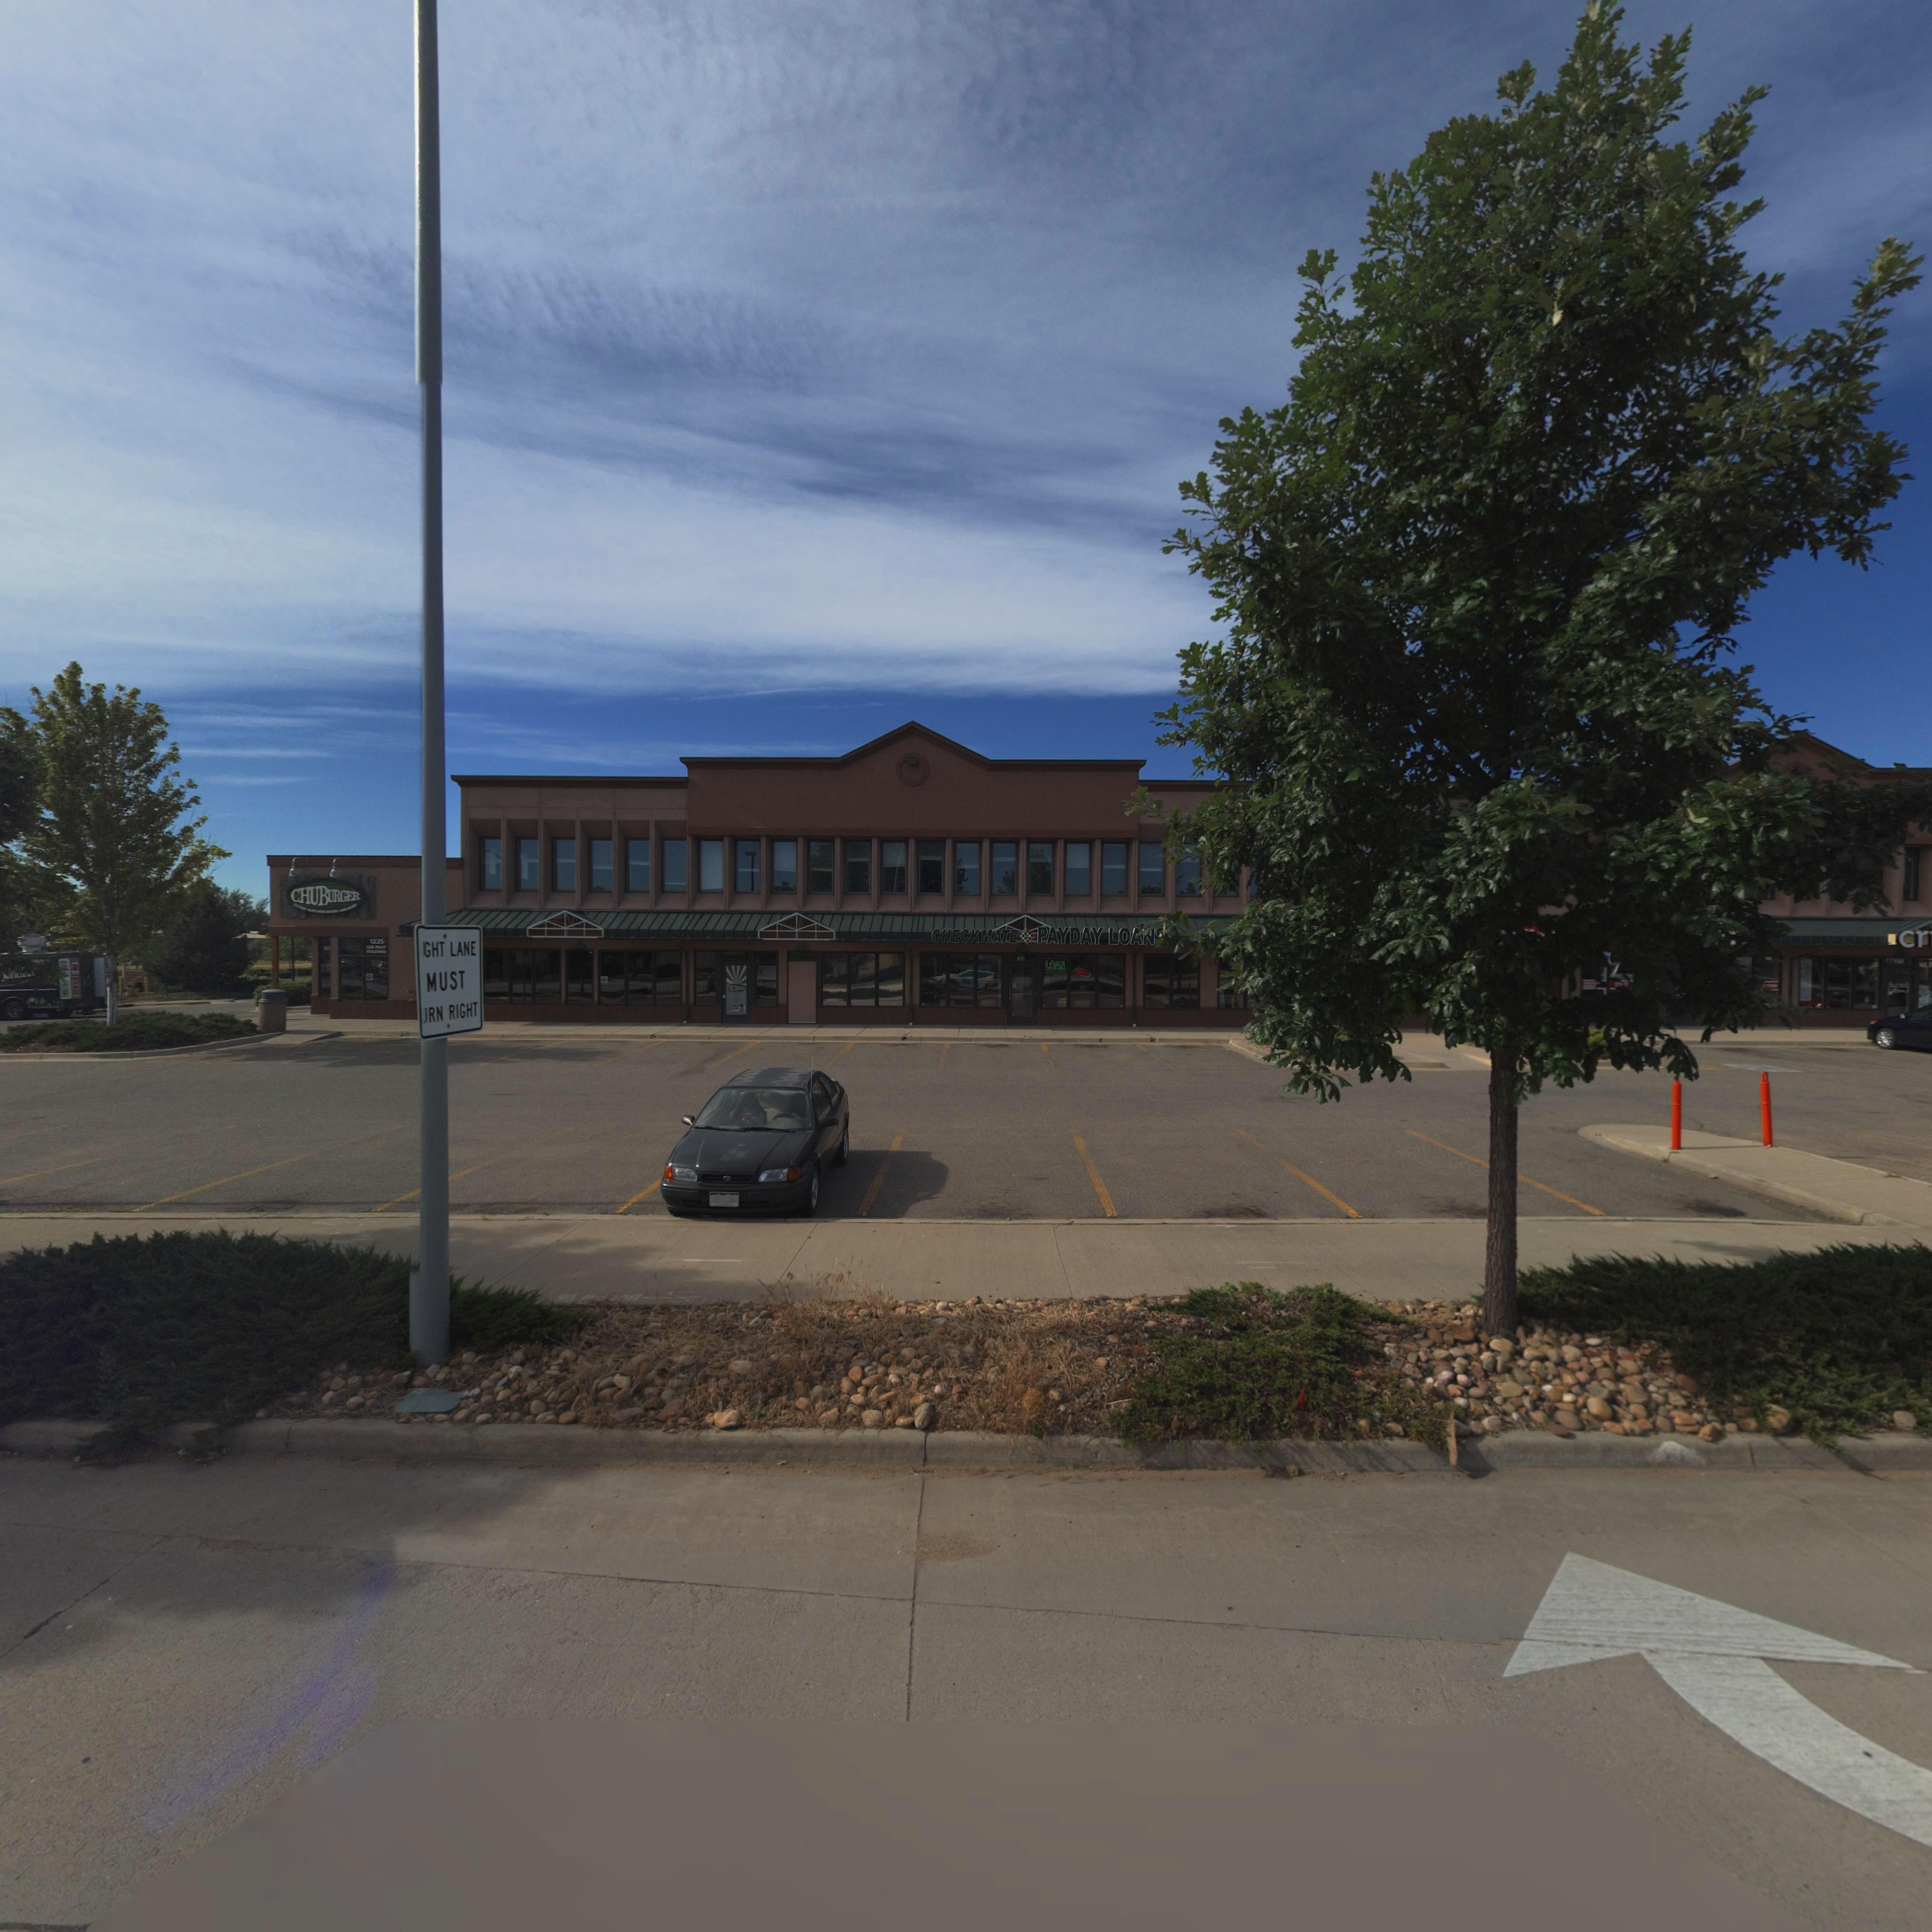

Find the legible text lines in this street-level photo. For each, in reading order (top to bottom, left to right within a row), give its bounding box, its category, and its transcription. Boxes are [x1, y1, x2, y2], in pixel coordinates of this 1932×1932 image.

[290, 885, 361, 907] BusinessName: CHUBURGER
[930, 926, 1156, 946] BusinessName: CHECKMATE PAYDAY LOAN
[368, 938, 384, 945] StreetNumber: 1225
[323, 946, 330, 951] StreetNumber: 10
[1016, 956, 1025, 961] StreetNumber: 11*
[725, 985, 746, 992] BusinessName: CHU*******